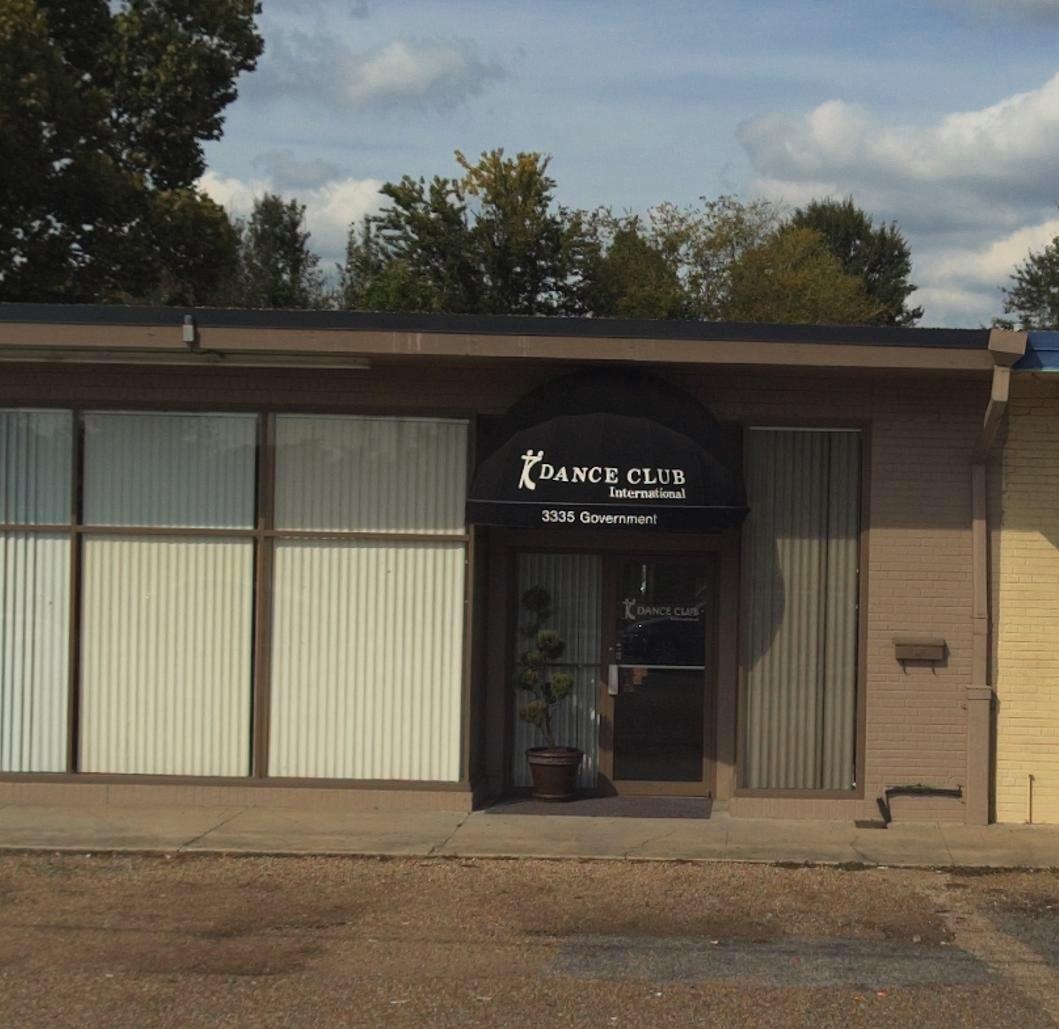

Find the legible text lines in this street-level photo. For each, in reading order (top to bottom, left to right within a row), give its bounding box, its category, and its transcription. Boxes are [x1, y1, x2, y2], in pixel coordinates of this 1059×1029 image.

[536, 461, 689, 486] BusinessName: DANCE CLUB
[605, 485, 687, 501] BusinessName: International
[539, 507, 577, 525] StreetNumber: 3335
[578, 508, 659, 528] StreetName: Government
[636, 603, 701, 618] BusinessName: DANCE CLUB